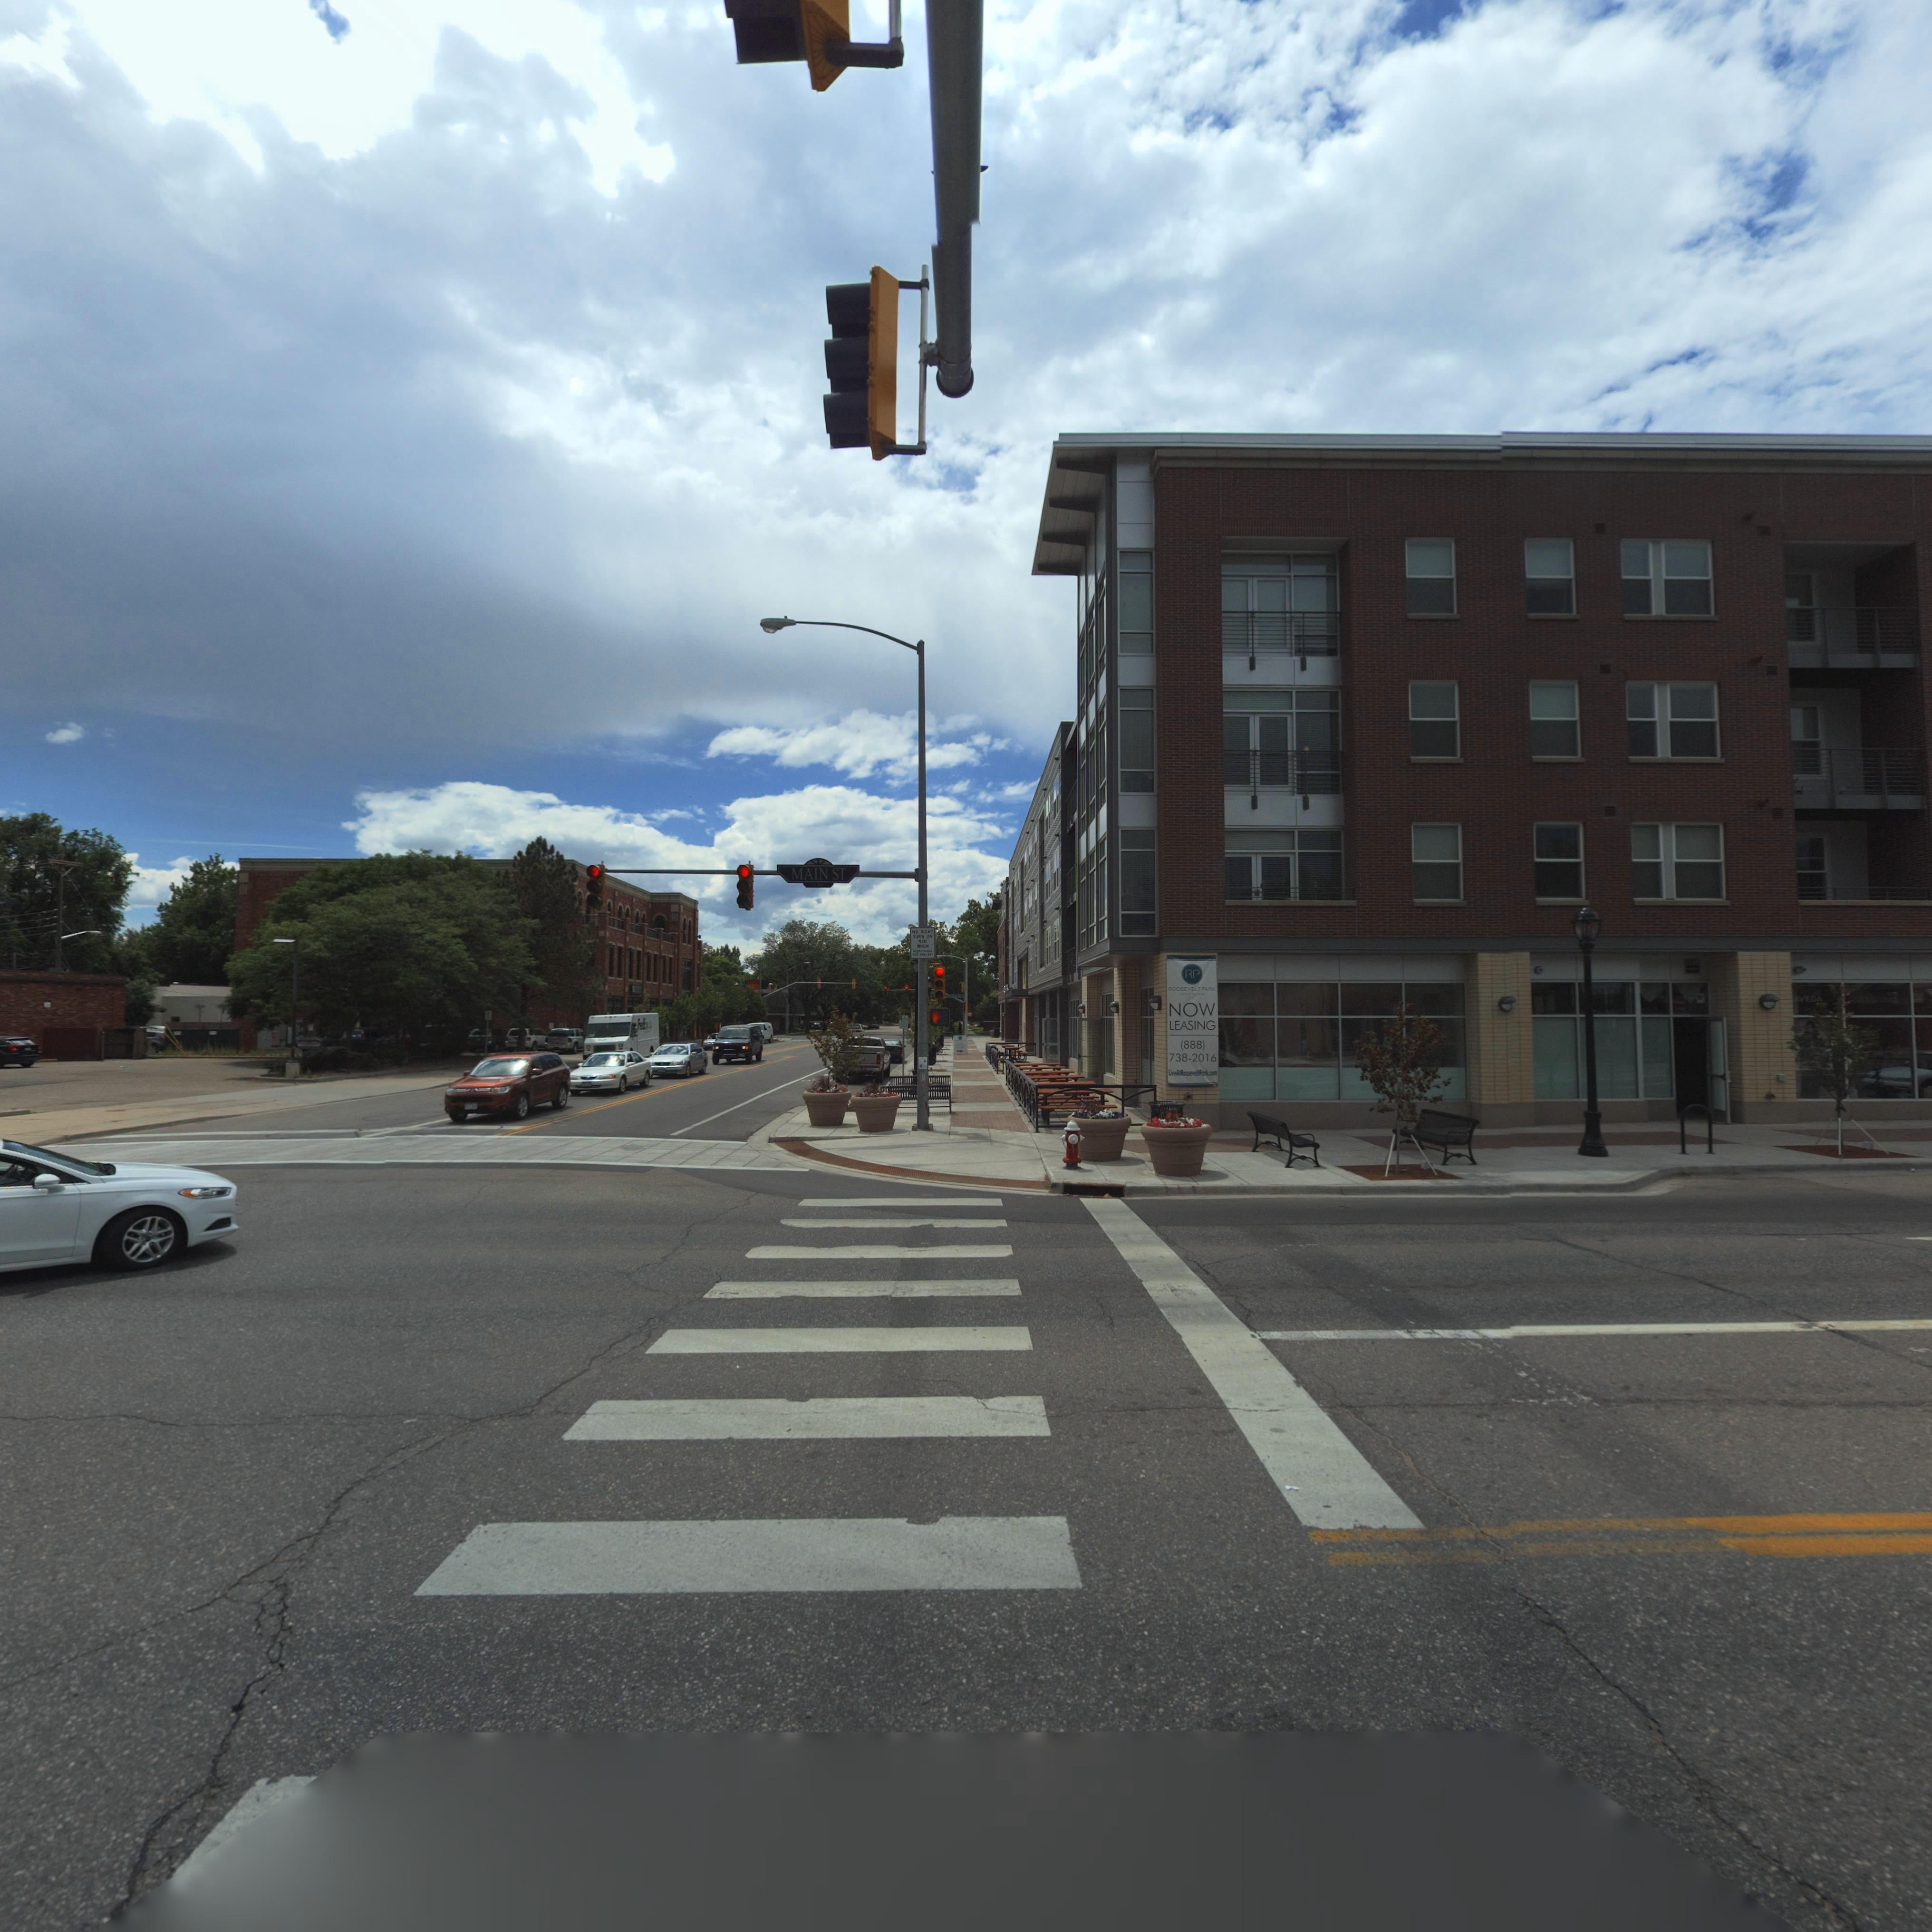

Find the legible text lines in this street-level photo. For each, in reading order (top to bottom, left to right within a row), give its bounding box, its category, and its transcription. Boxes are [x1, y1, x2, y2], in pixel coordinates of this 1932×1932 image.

[790, 867, 848, 881] StreetNumber: MAIN ST
[813, 882, 824, 887] StreetNumberRange: **0